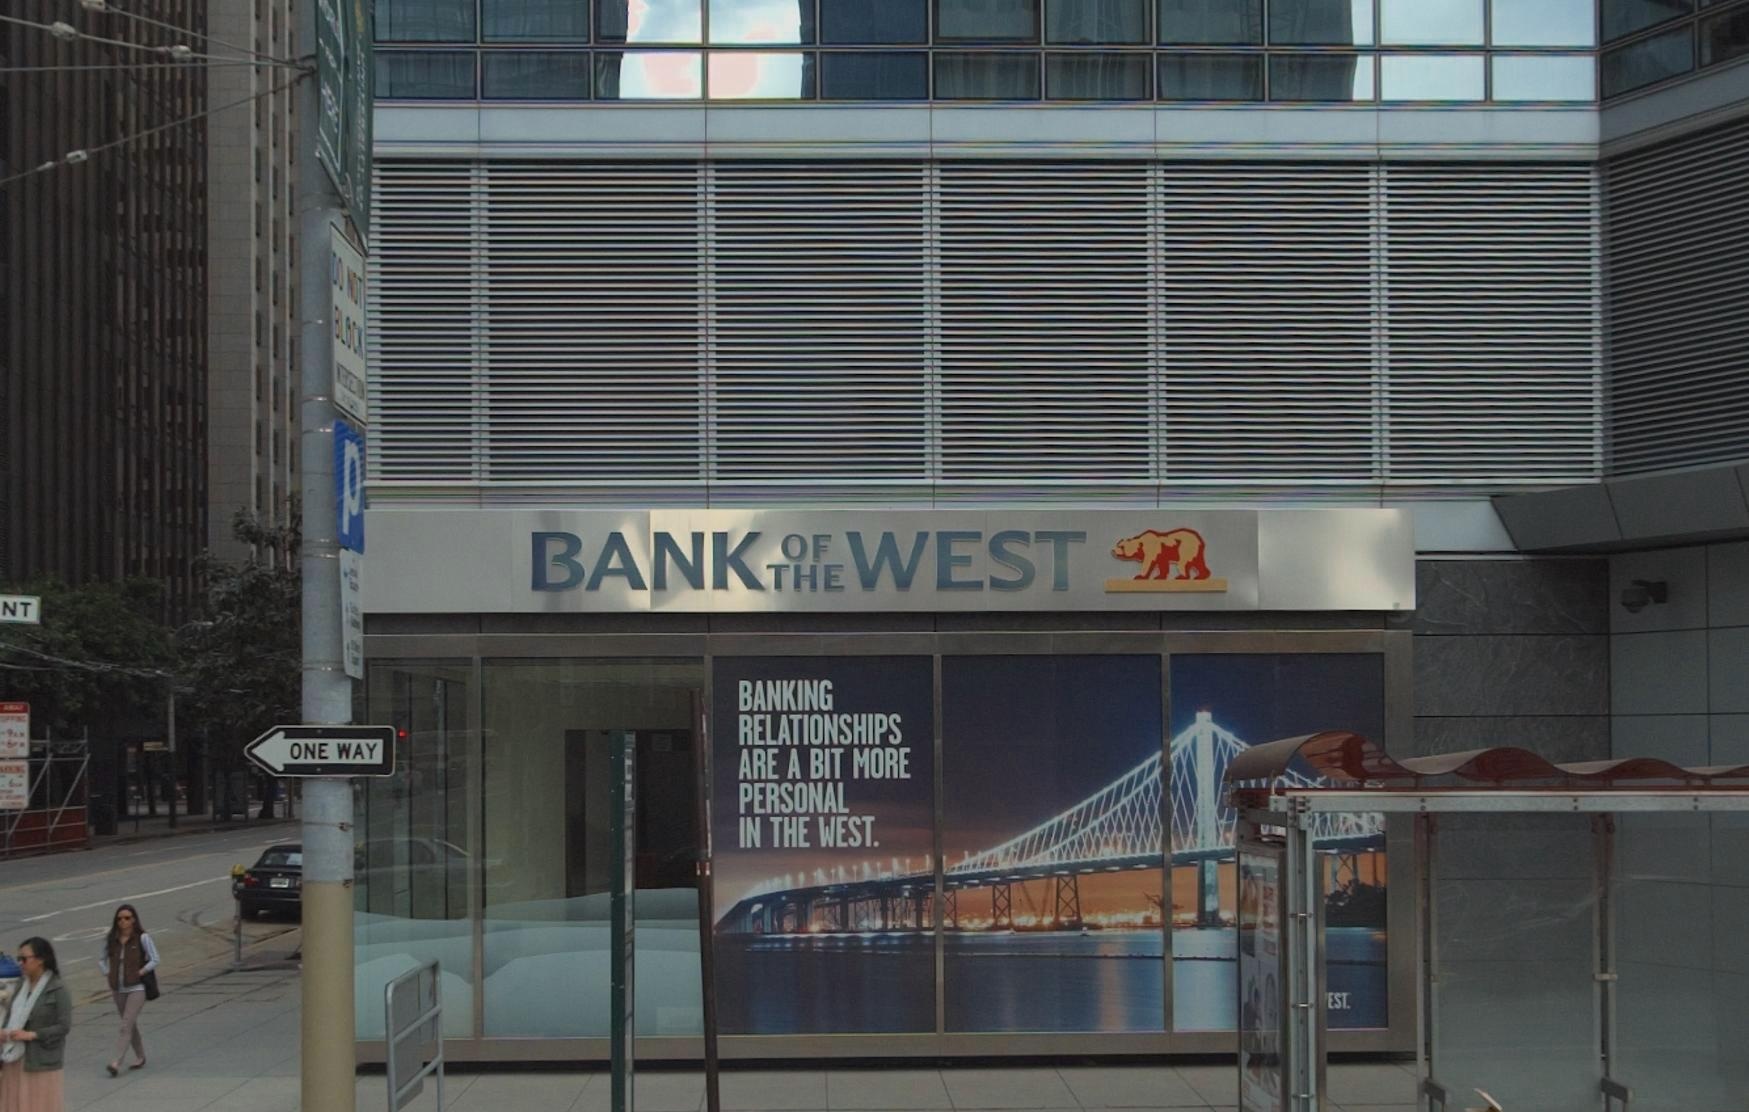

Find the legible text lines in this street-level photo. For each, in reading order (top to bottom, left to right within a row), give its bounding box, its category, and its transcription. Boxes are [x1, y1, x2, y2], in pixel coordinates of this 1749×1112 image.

[330, 244, 365, 316] None: DO NOT
[332, 299, 366, 366] None: BLOCK
[338, 431, 365, 542] None: P
[763, 561, 848, 593] BusinessName: THE
[778, 531, 834, 564] BusinessName: OF
[524, 526, 1091, 598] BusinessName: BANK WEST
[0, 598, 35, 620] StreetName: NT
[736, 676, 837, 713] None: BANKING
[736, 710, 904, 748] None: RELATIONSHIPS
[288, 739, 382, 762] None: ONE WAY
[736, 744, 914, 782] None: ARE A BIT MORE
[736, 779, 852, 816] None: PERSONAL
[736, 812, 880, 851] None: IN THE WEST.
[1326, 989, 1353, 1012] None: EST.